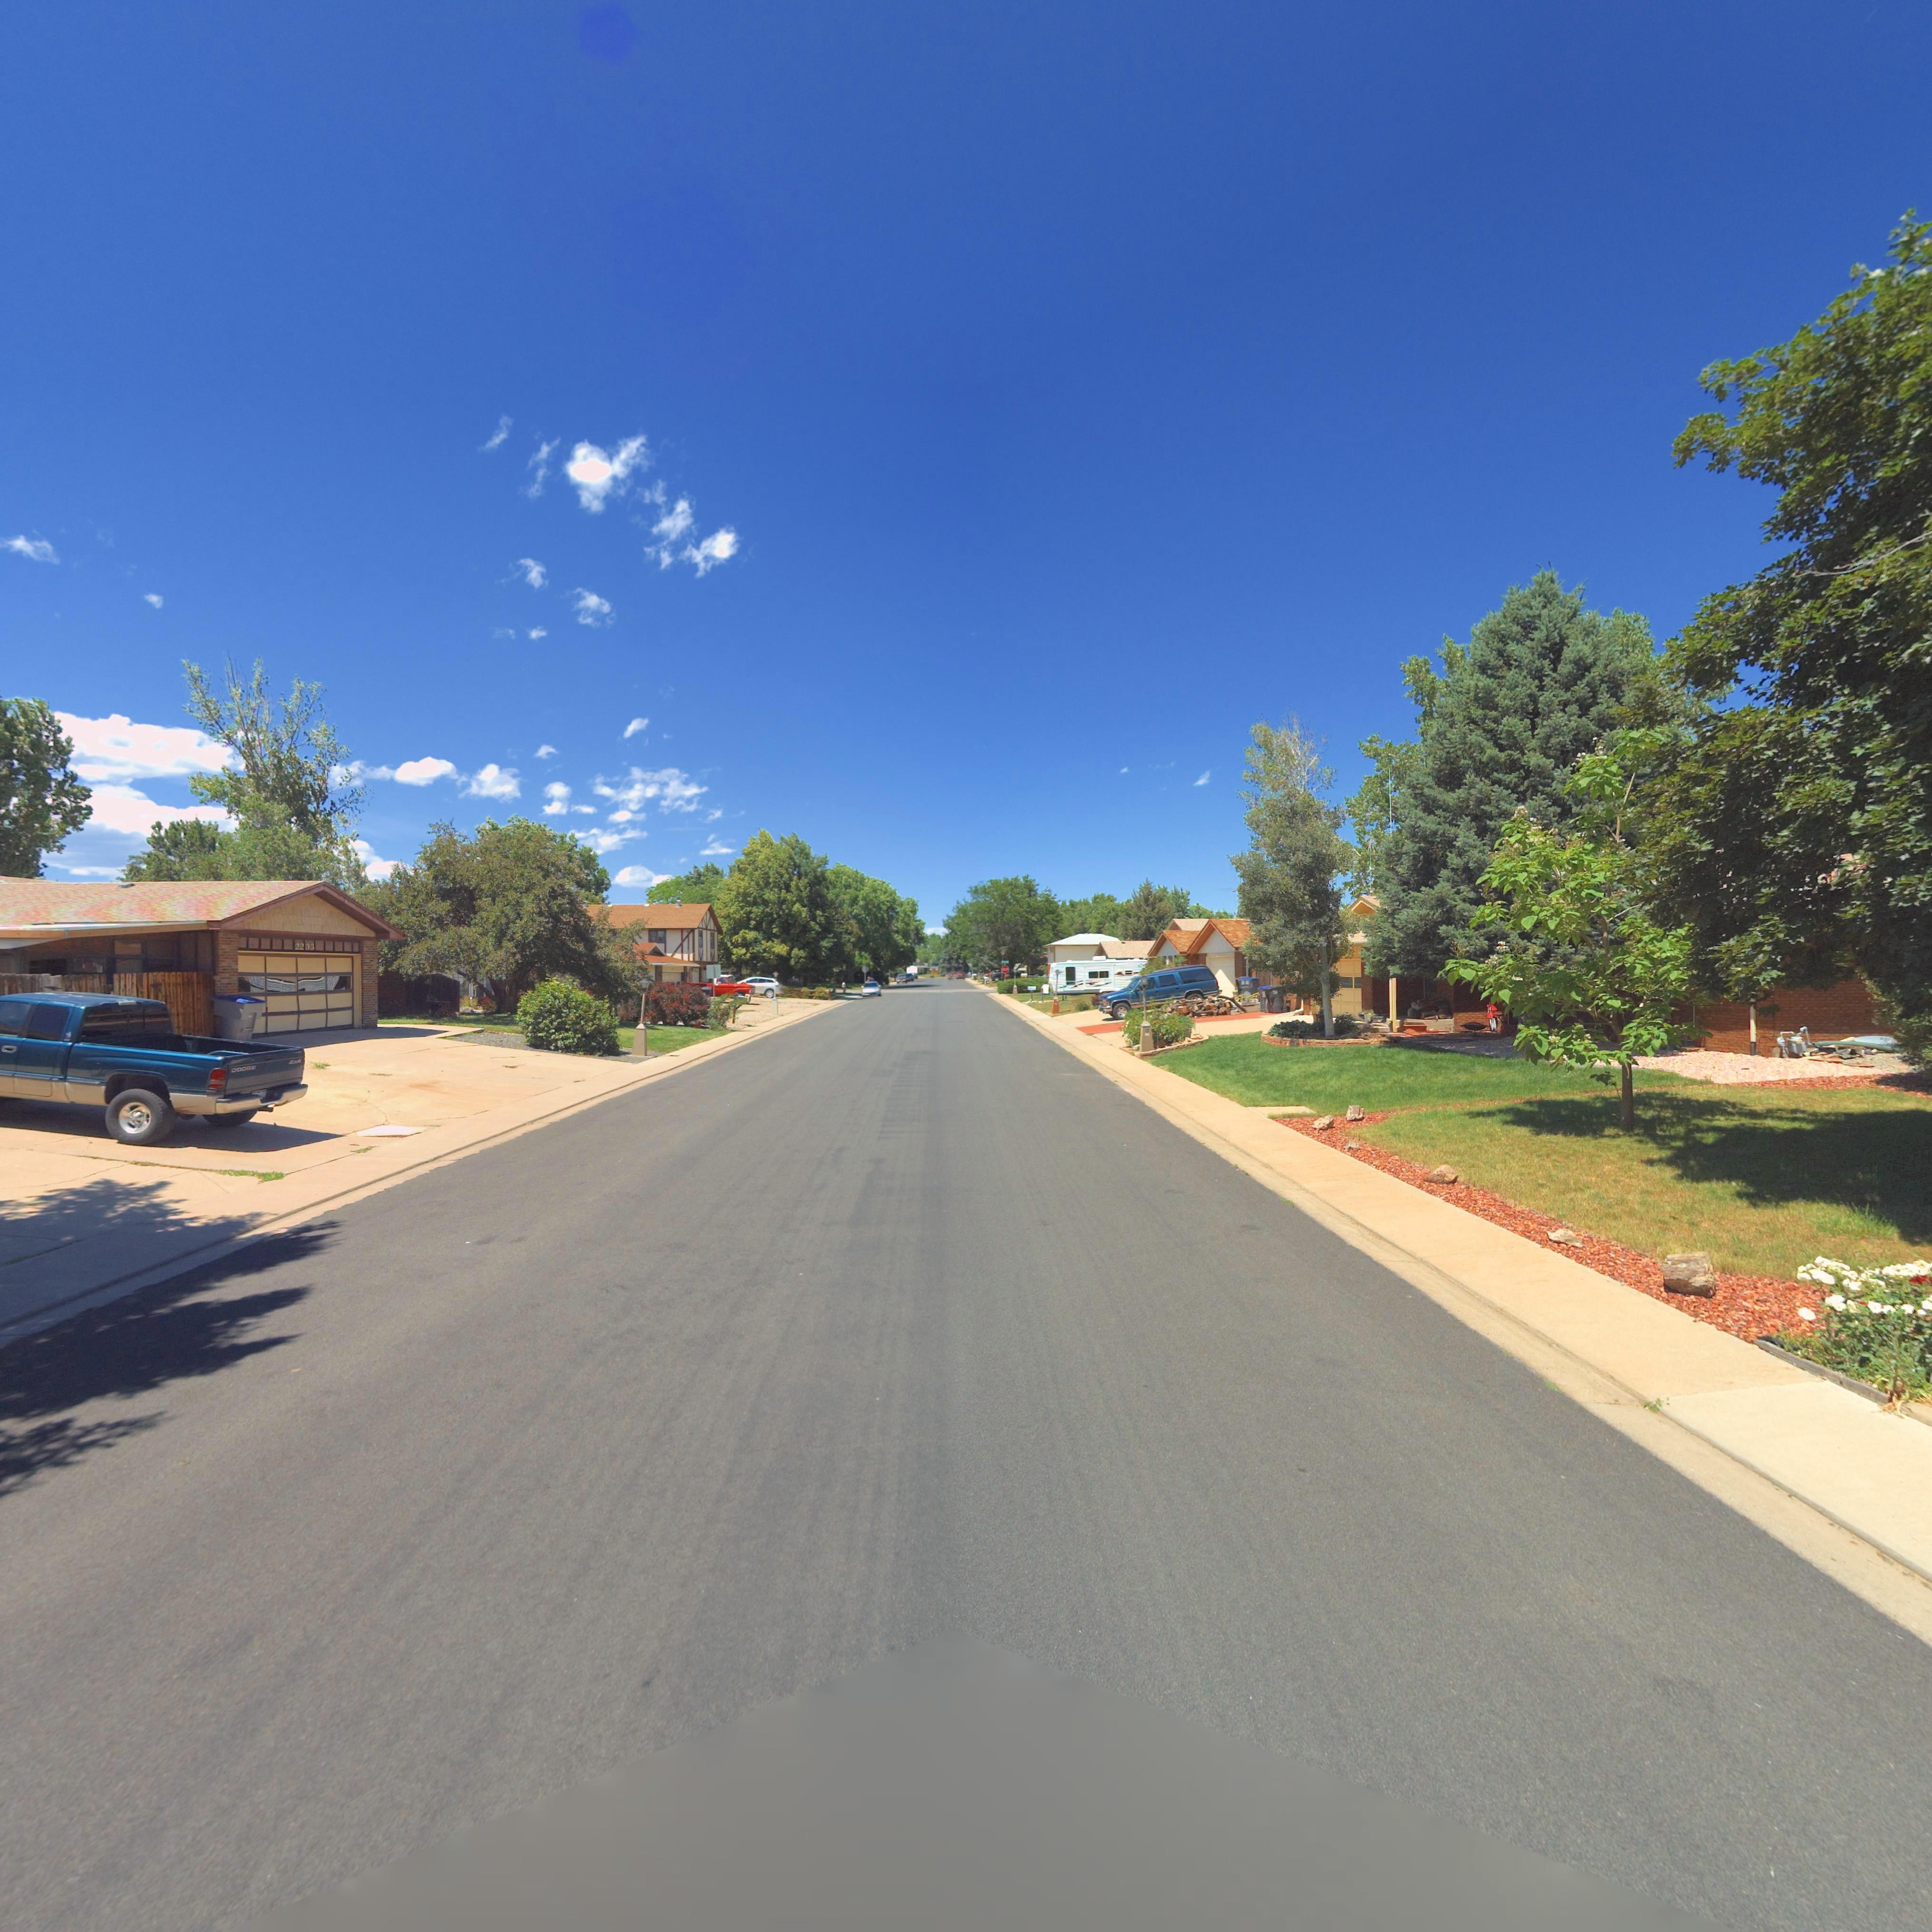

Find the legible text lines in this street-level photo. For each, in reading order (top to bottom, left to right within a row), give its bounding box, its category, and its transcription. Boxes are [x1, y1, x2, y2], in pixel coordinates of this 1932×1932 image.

[294, 943, 315, 950] StreetNumber: 2233